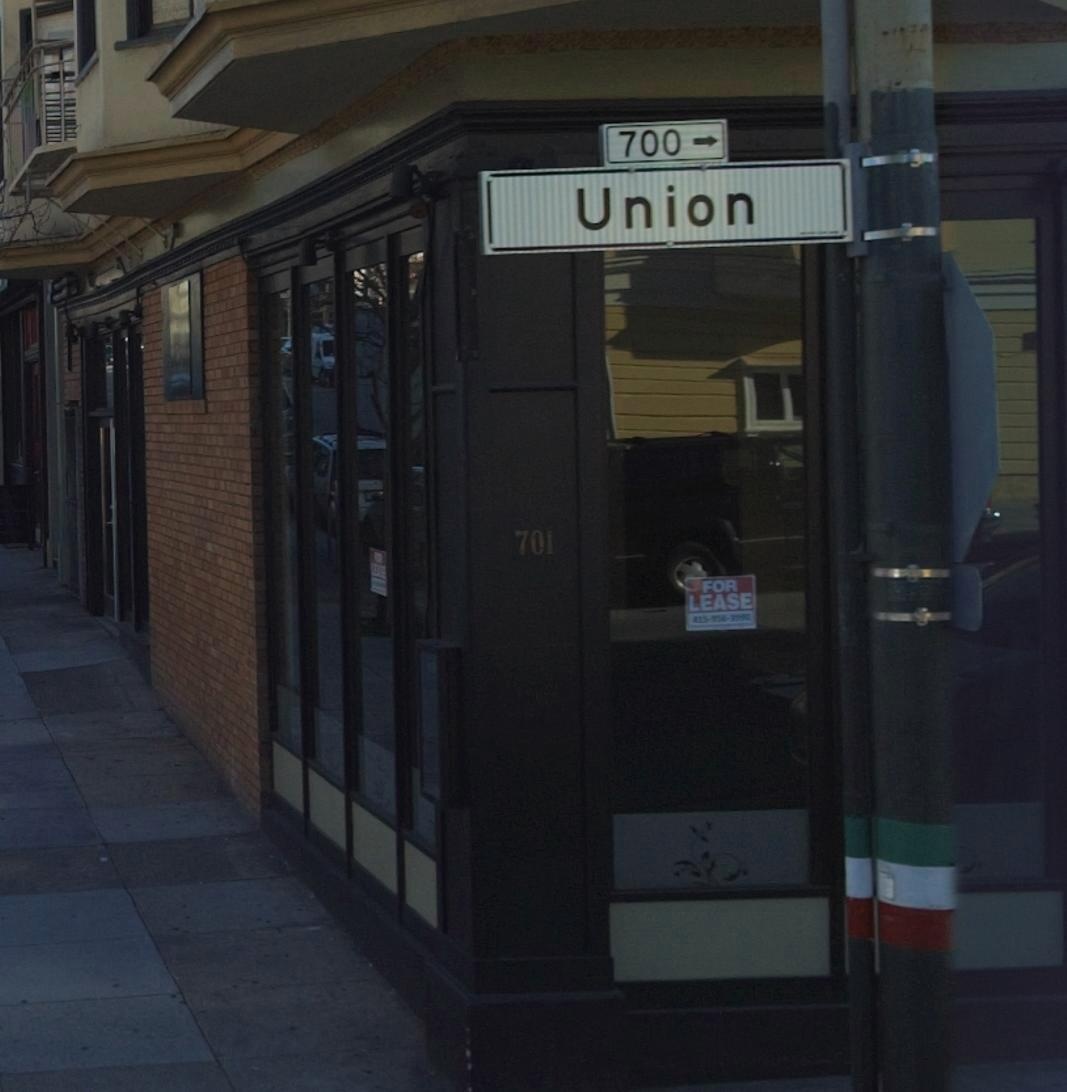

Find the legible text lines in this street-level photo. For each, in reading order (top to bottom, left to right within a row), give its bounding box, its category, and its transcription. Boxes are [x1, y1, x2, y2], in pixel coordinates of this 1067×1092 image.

[616, 128, 719, 159] StreetNumberRange: 700->
[574, 183, 755, 232] StreetName: Union
[514, 528, 556, 559] StreetNumber: 701
[701, 578, 738, 594] None: FOR
[687, 592, 753, 613] None: LEASE
[691, 613, 752, 625] None: 415-954-3990